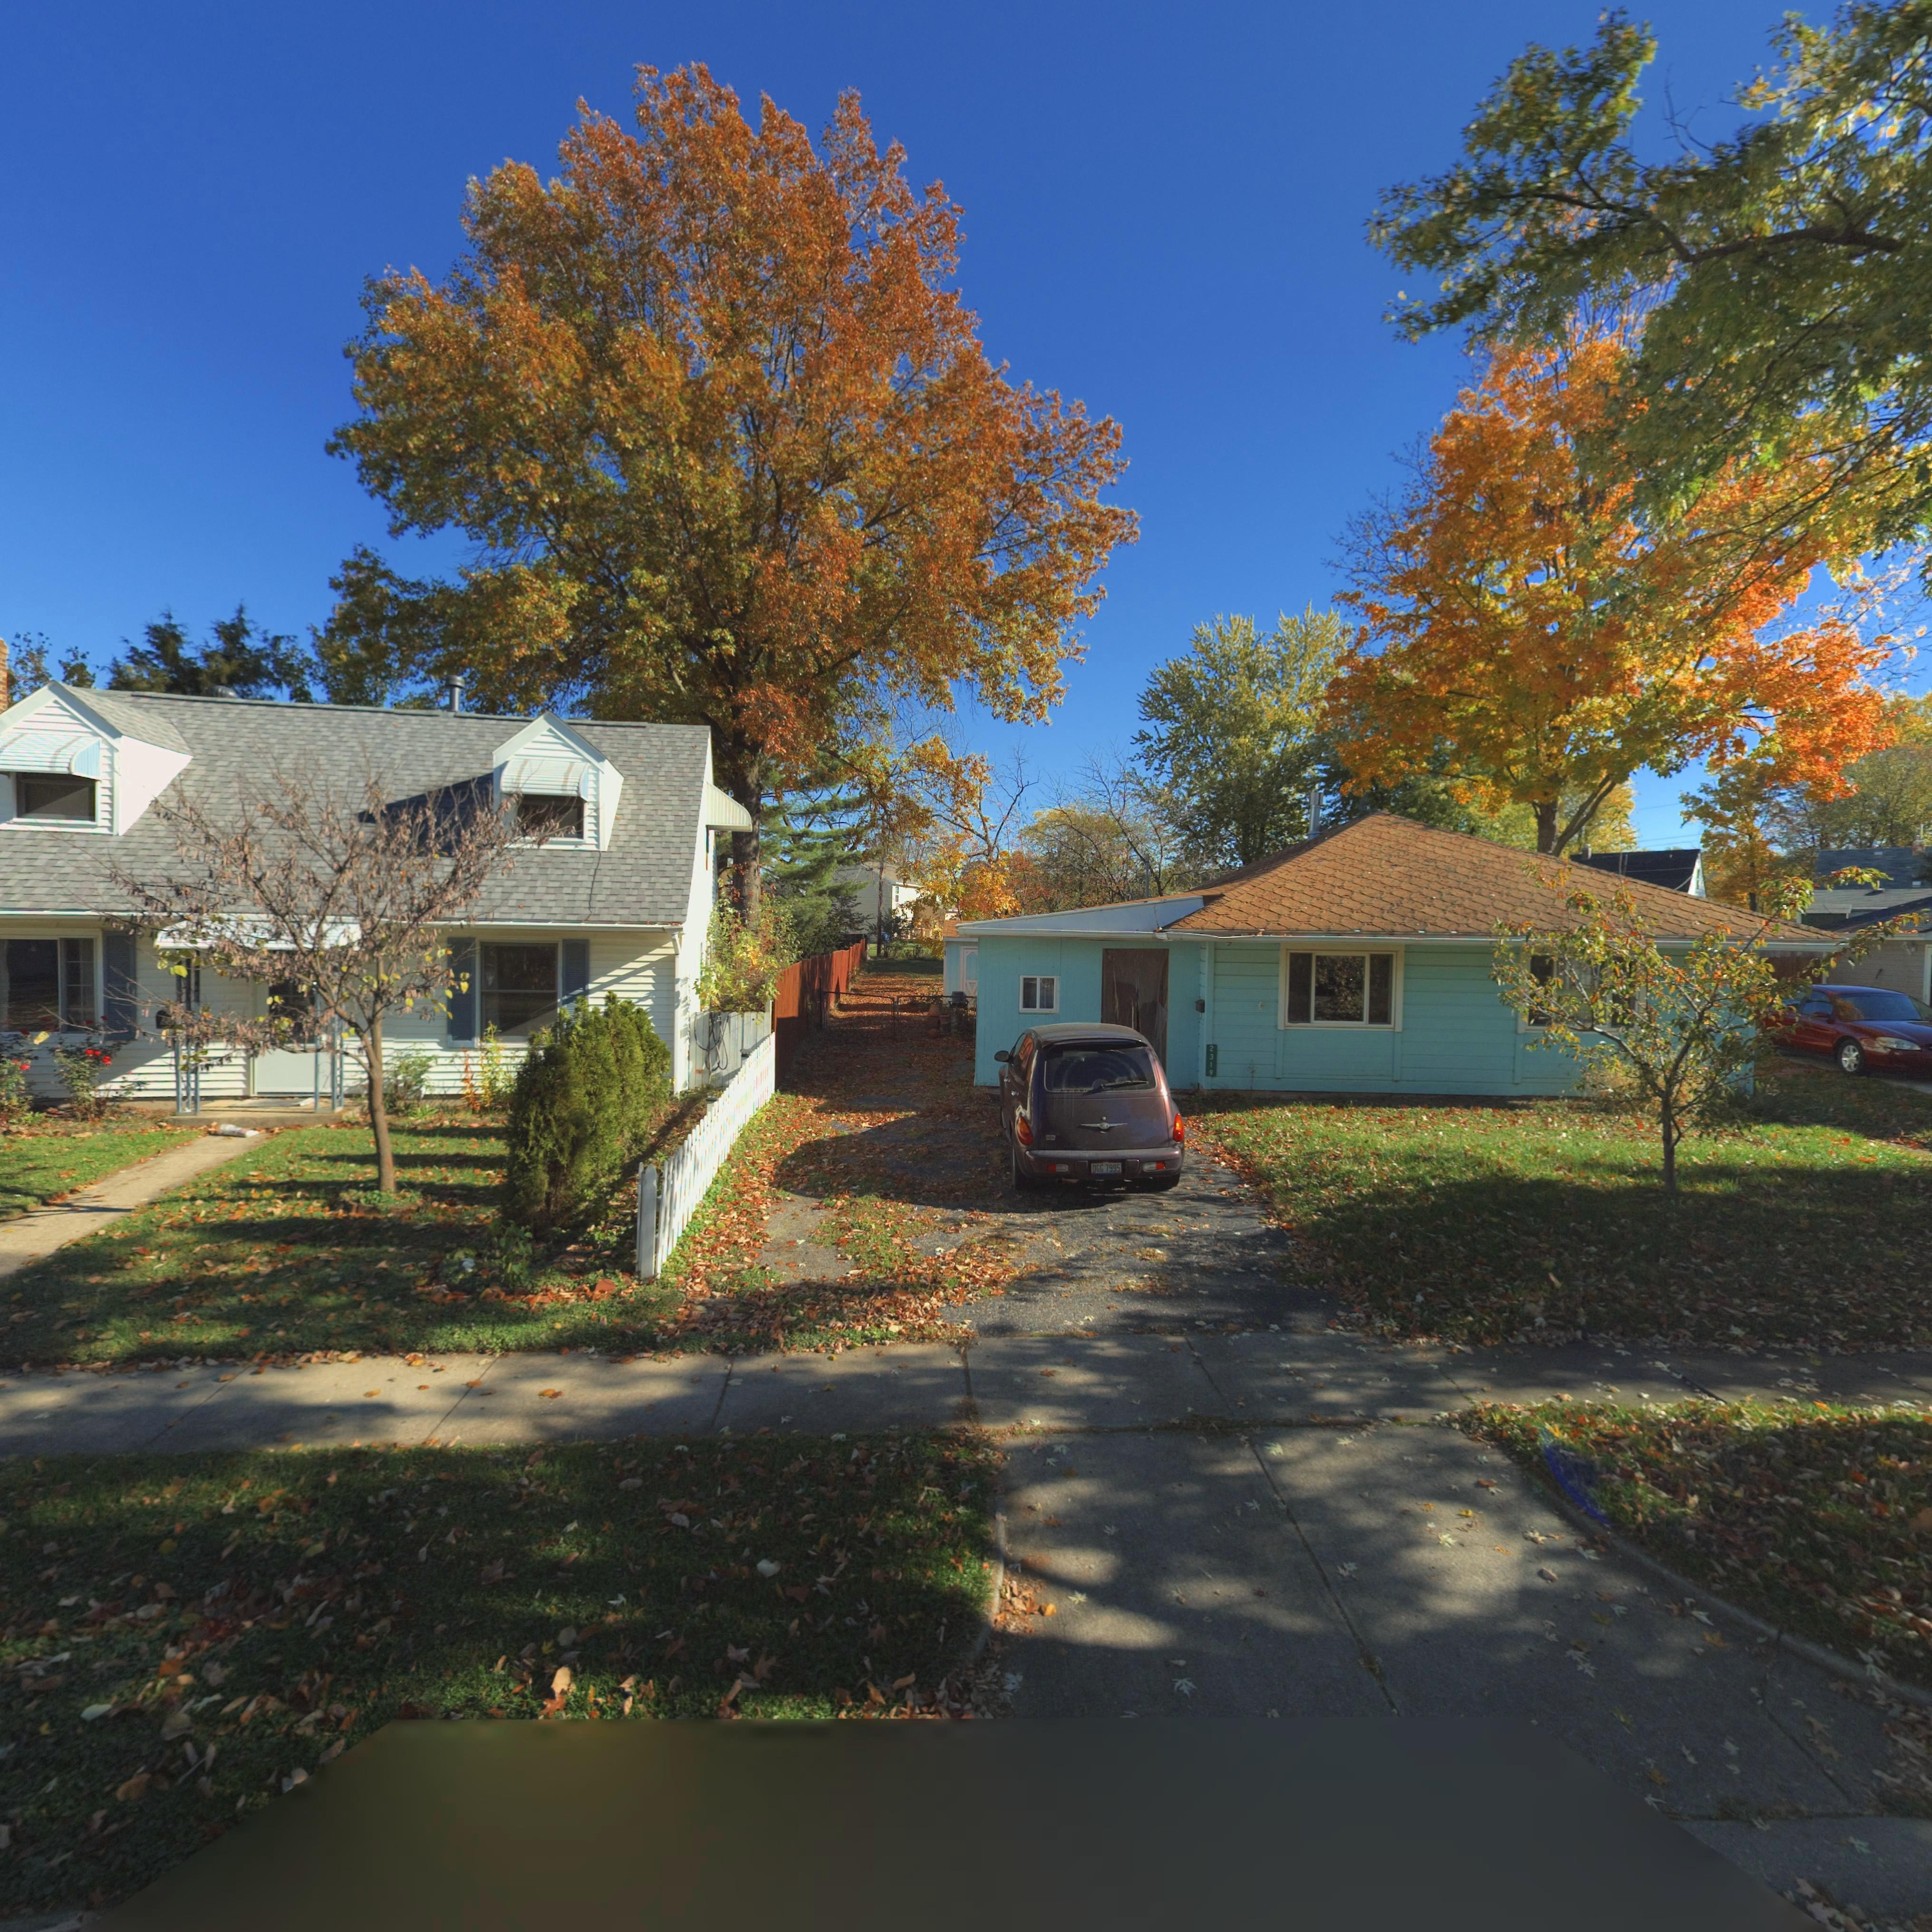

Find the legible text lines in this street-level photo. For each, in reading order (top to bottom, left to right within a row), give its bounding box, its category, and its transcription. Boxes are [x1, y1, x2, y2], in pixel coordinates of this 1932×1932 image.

[1208, 1044, 1215, 1076] StreetNumber: 2319